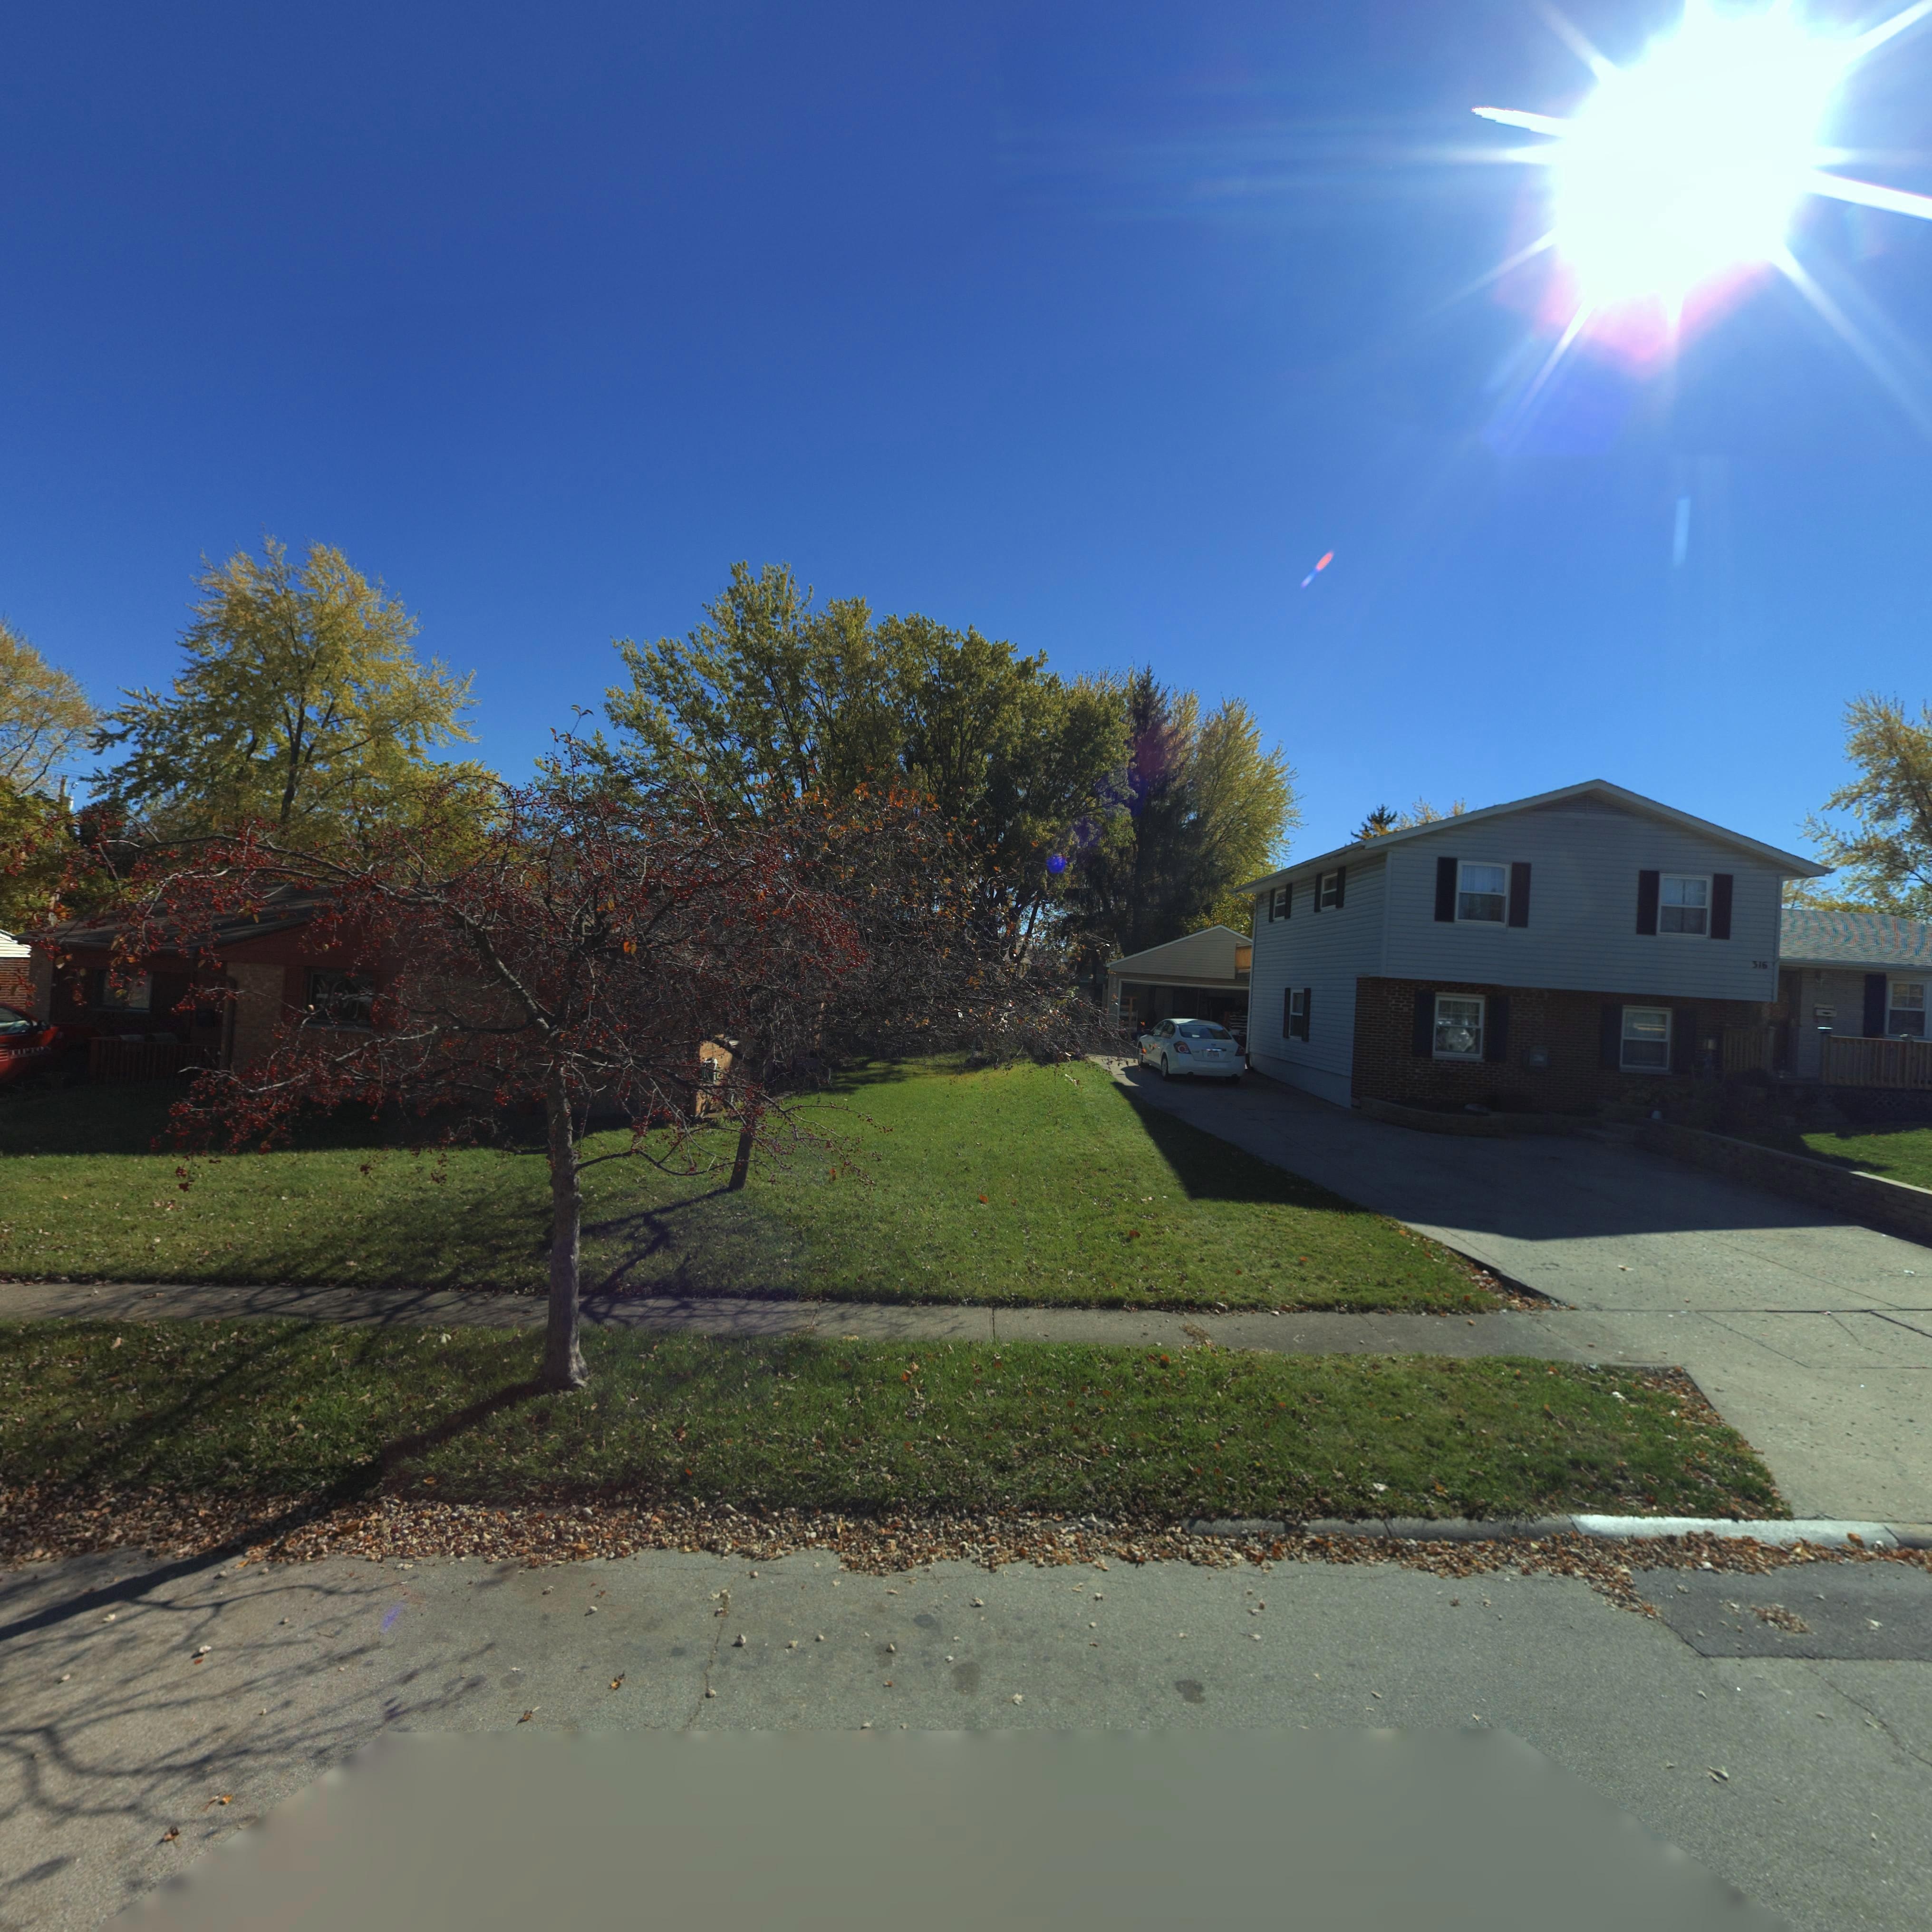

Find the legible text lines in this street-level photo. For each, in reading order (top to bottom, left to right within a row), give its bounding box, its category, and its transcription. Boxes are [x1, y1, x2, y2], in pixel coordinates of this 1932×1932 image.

[1750, 959, 1769, 970] StreetNumber: 316